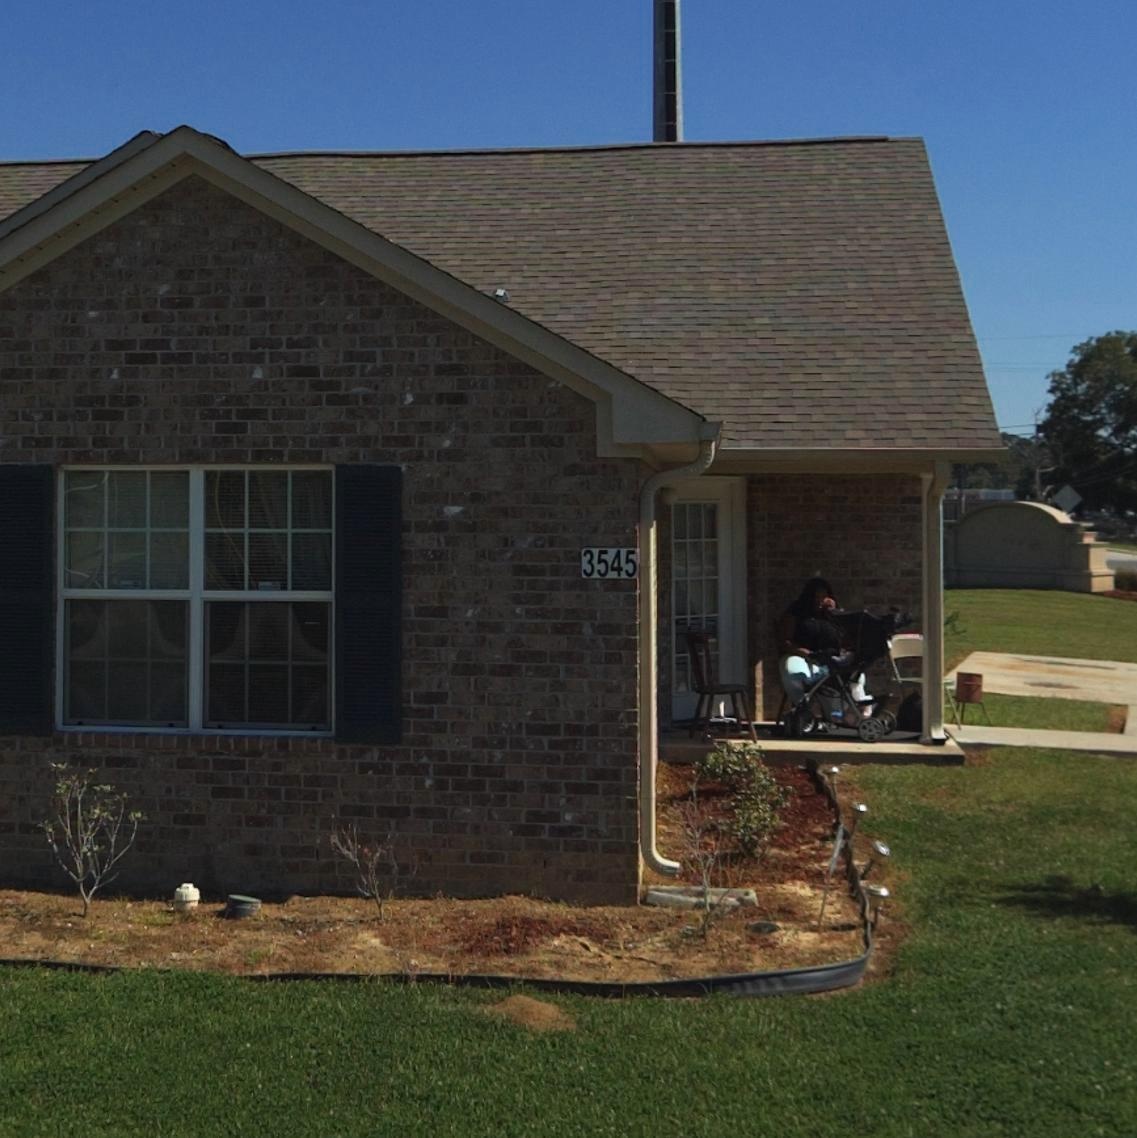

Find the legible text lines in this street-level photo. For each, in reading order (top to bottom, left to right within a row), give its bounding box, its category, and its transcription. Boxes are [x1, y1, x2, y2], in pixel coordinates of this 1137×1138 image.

[582, 548, 638, 578] StreetNumber: 3545